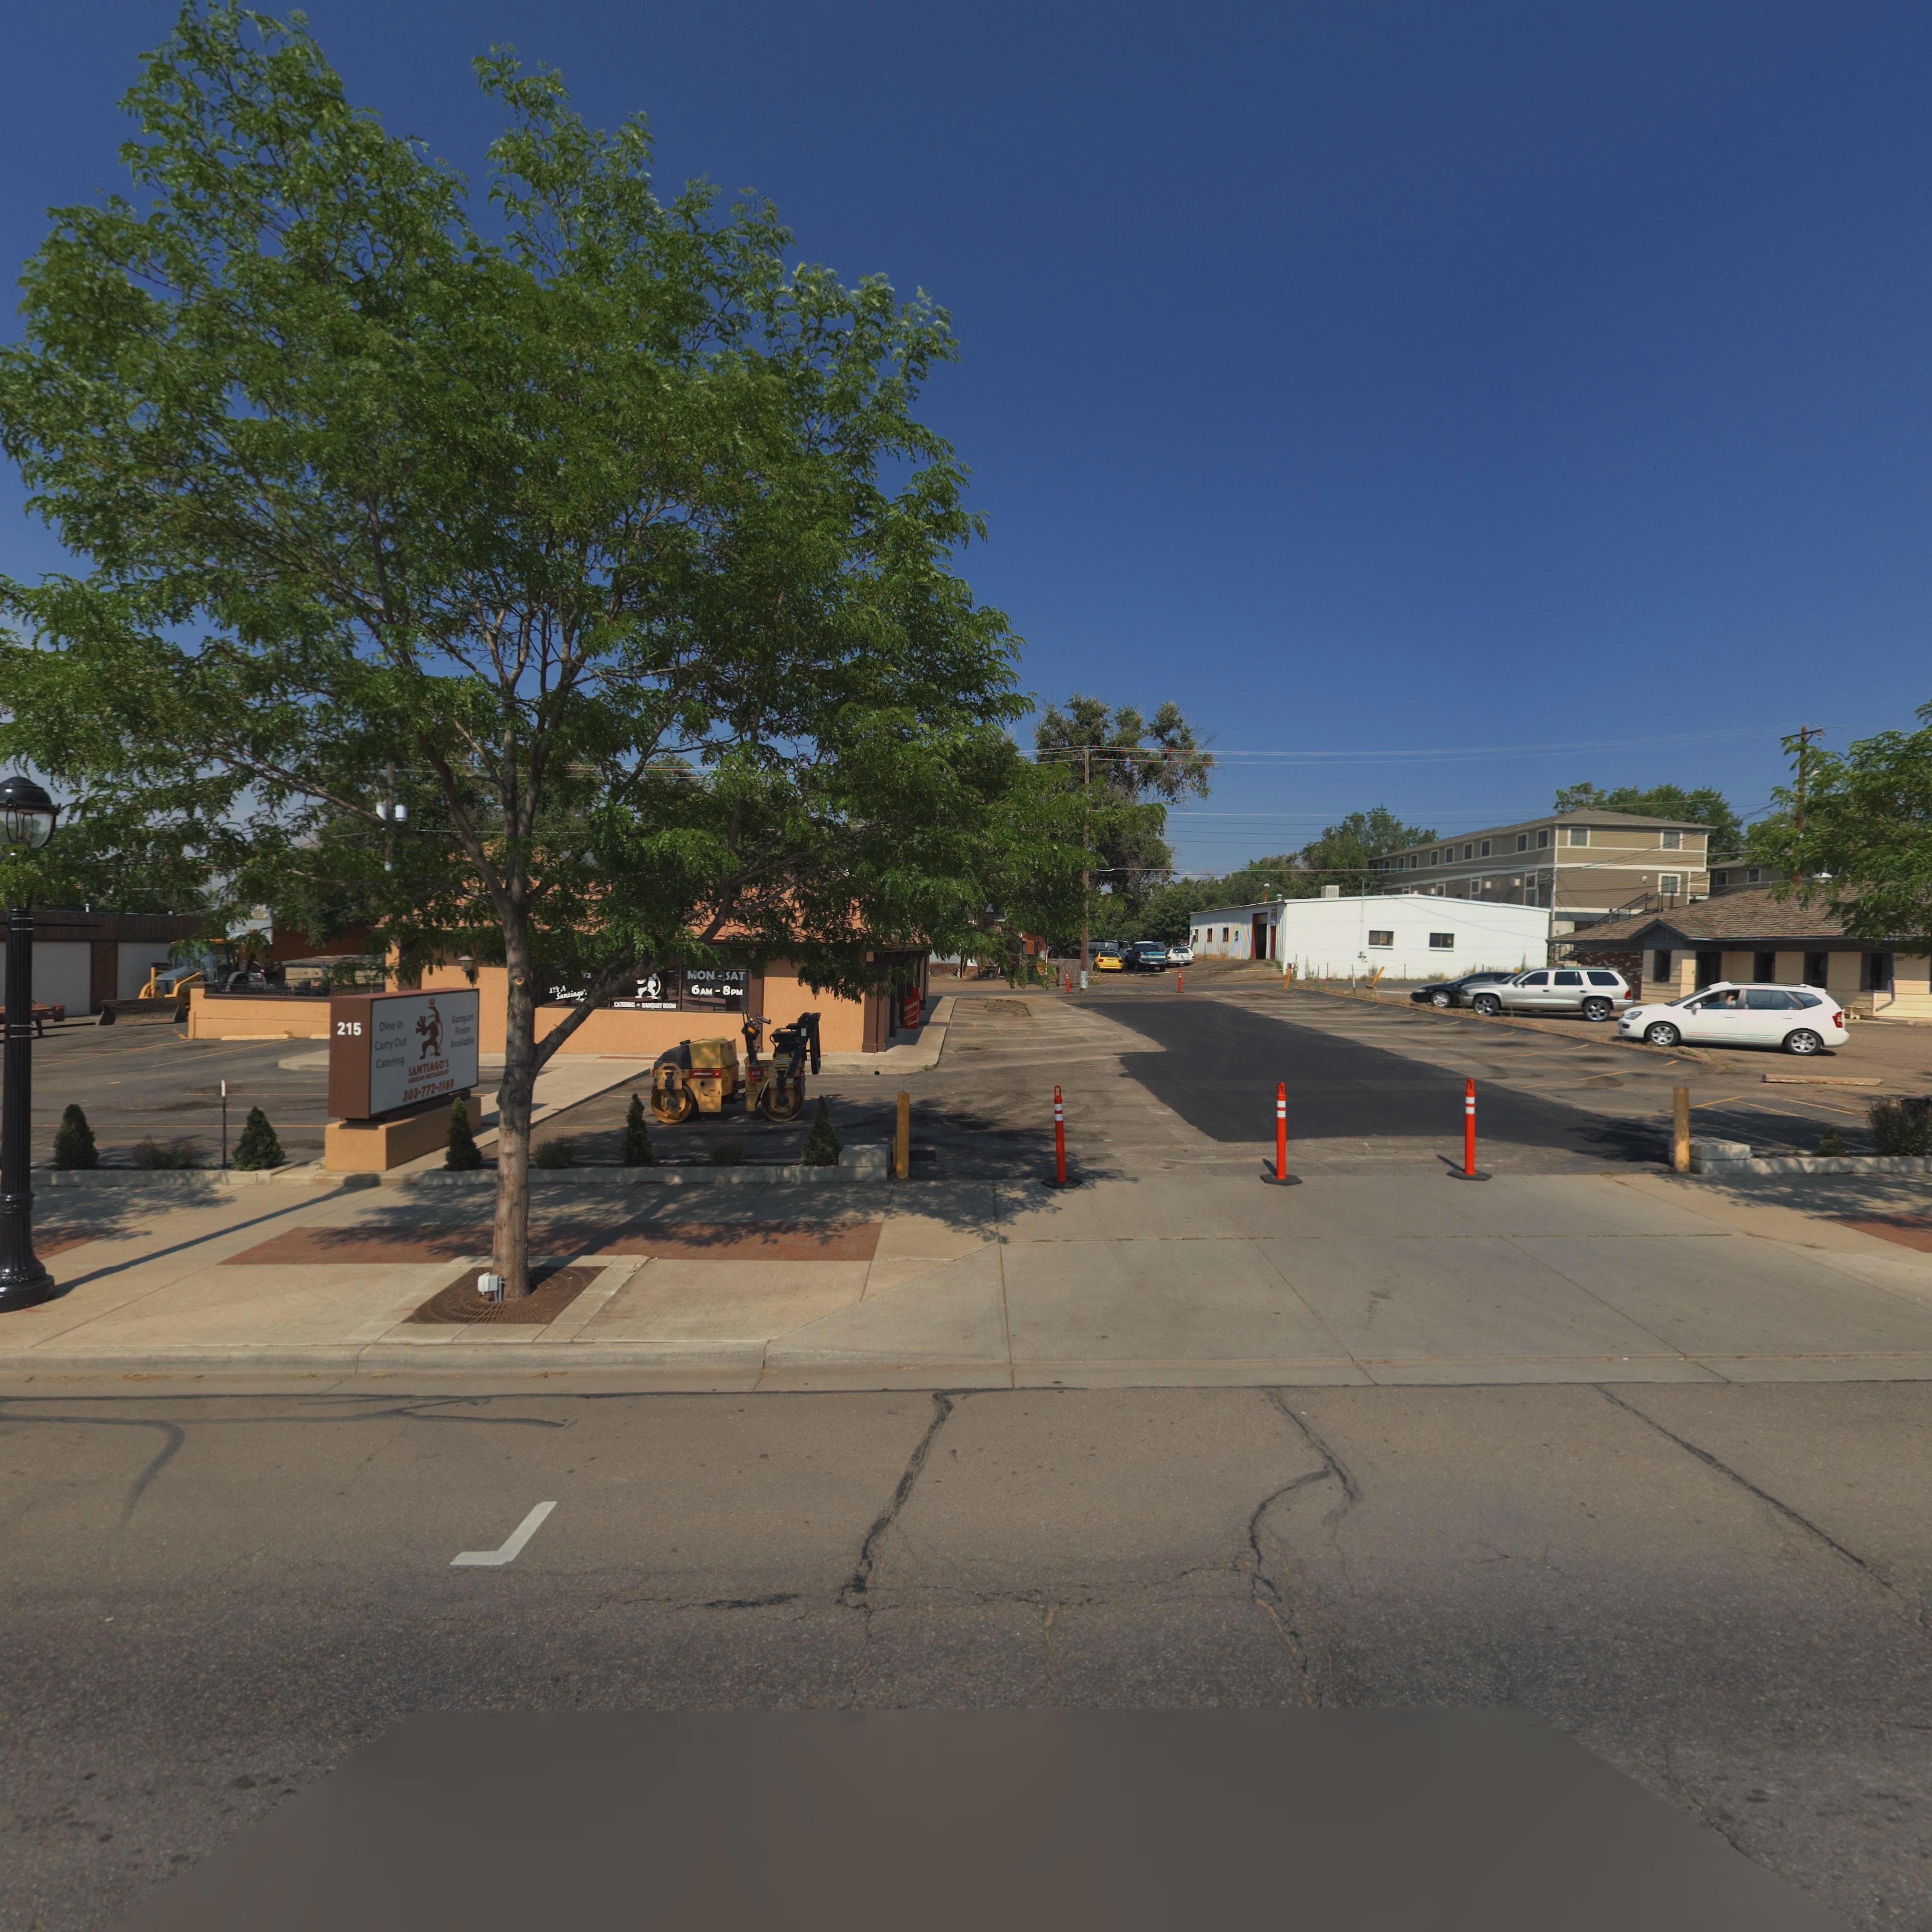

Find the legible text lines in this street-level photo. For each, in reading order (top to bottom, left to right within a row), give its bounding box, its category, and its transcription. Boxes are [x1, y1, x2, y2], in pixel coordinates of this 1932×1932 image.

[555, 988, 588, 1000] BusinessName: Santiago'*
[337, 1021, 361, 1036] StreetNumber: 215
[407, 1058, 449, 1077] BusinessName: SANTIAGO'S